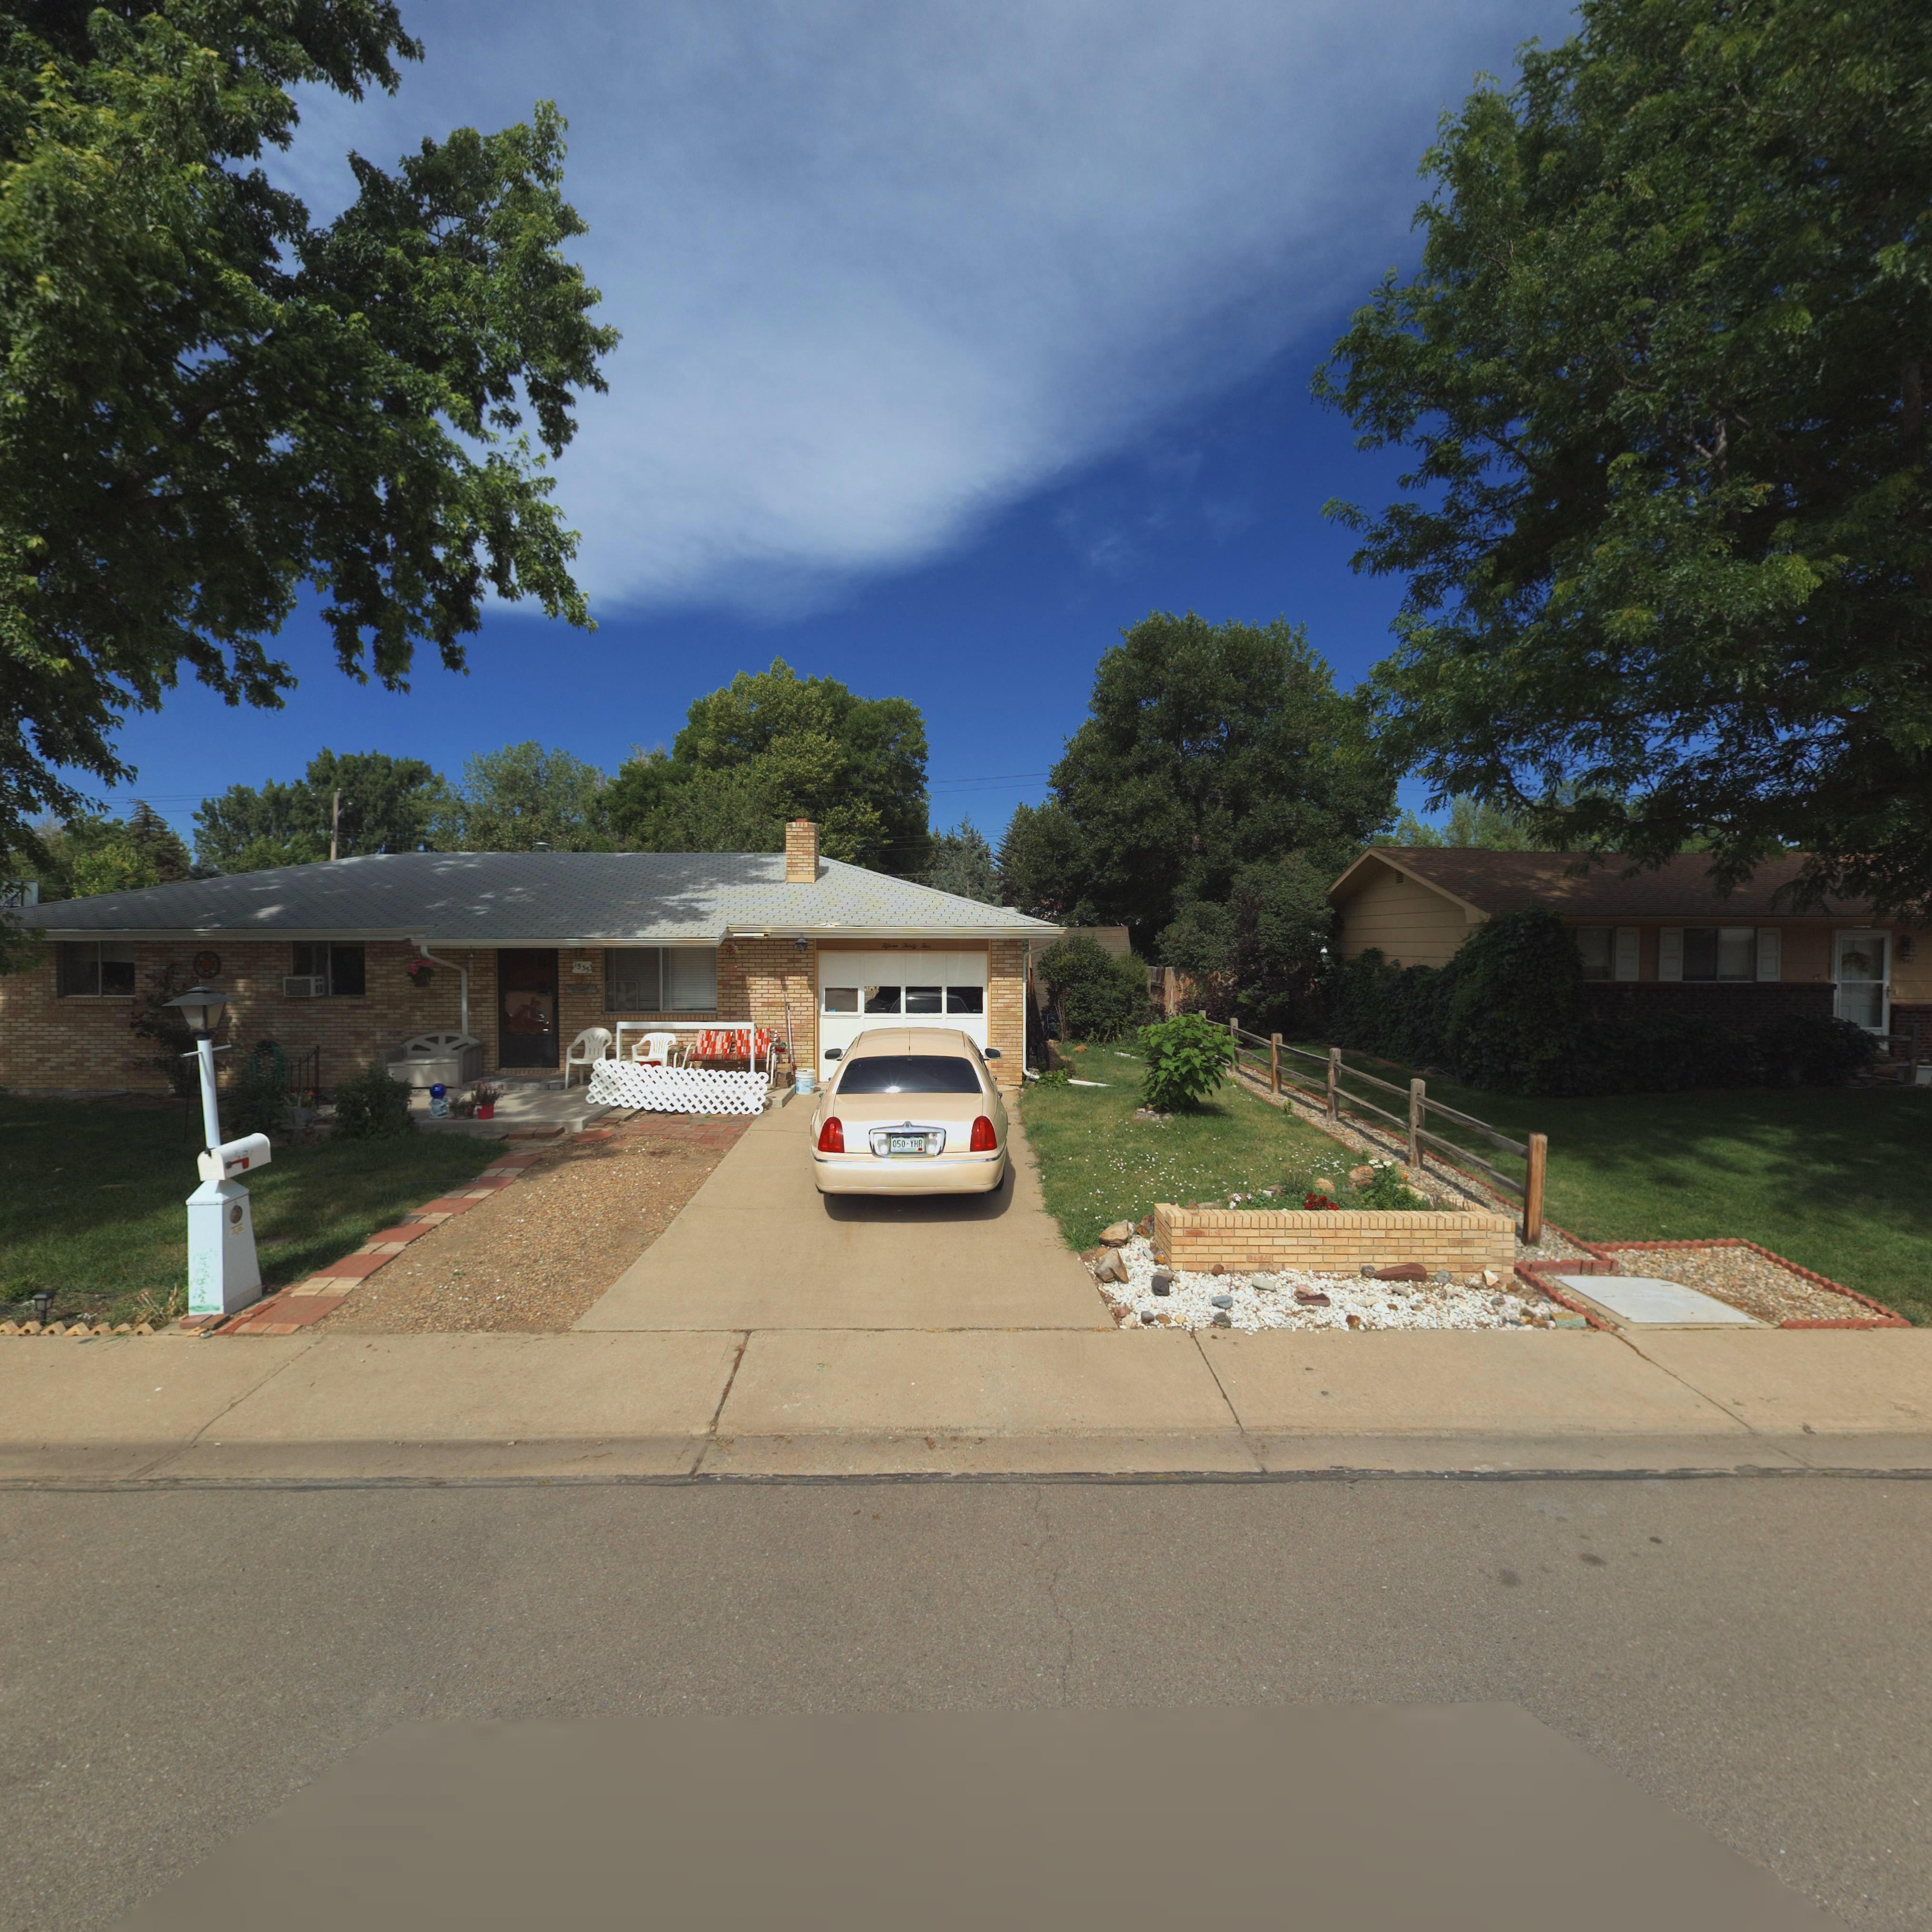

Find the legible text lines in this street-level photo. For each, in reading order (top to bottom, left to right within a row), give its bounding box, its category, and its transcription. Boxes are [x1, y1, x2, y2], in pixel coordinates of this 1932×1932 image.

[1899, 957, 1915, 964] StreetNumber: 15**
[574, 961, 590, 974] StreetNumber: 1535